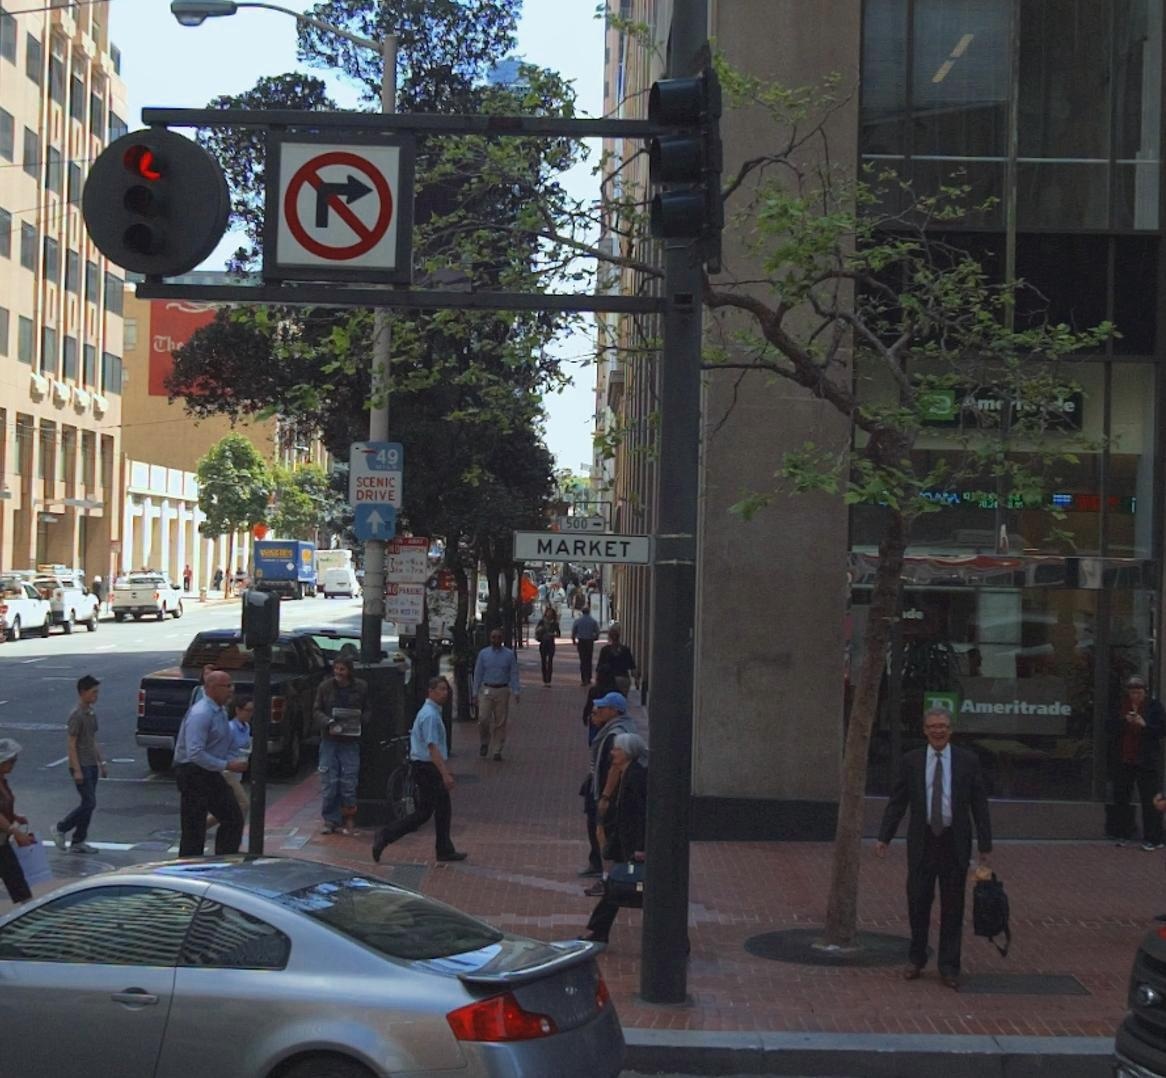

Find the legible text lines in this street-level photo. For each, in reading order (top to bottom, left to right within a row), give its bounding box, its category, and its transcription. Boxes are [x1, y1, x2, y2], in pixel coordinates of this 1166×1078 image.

[376, 447, 399, 466] None: 49
[355, 476, 396, 488] None: SCENIC
[355, 489, 397, 503] None: DRIVE
[565, 517, 603, 531] StreetNumberRange: 500->
[387, 543, 401, 554] None: NO
[535, 538, 632, 559] StreetName: MARKET
[388, 556, 396, 573] None: 3
[386, 582, 422, 596] None: NO PARKING
[957, 697, 1072, 717] BusinessName: Ameritrade